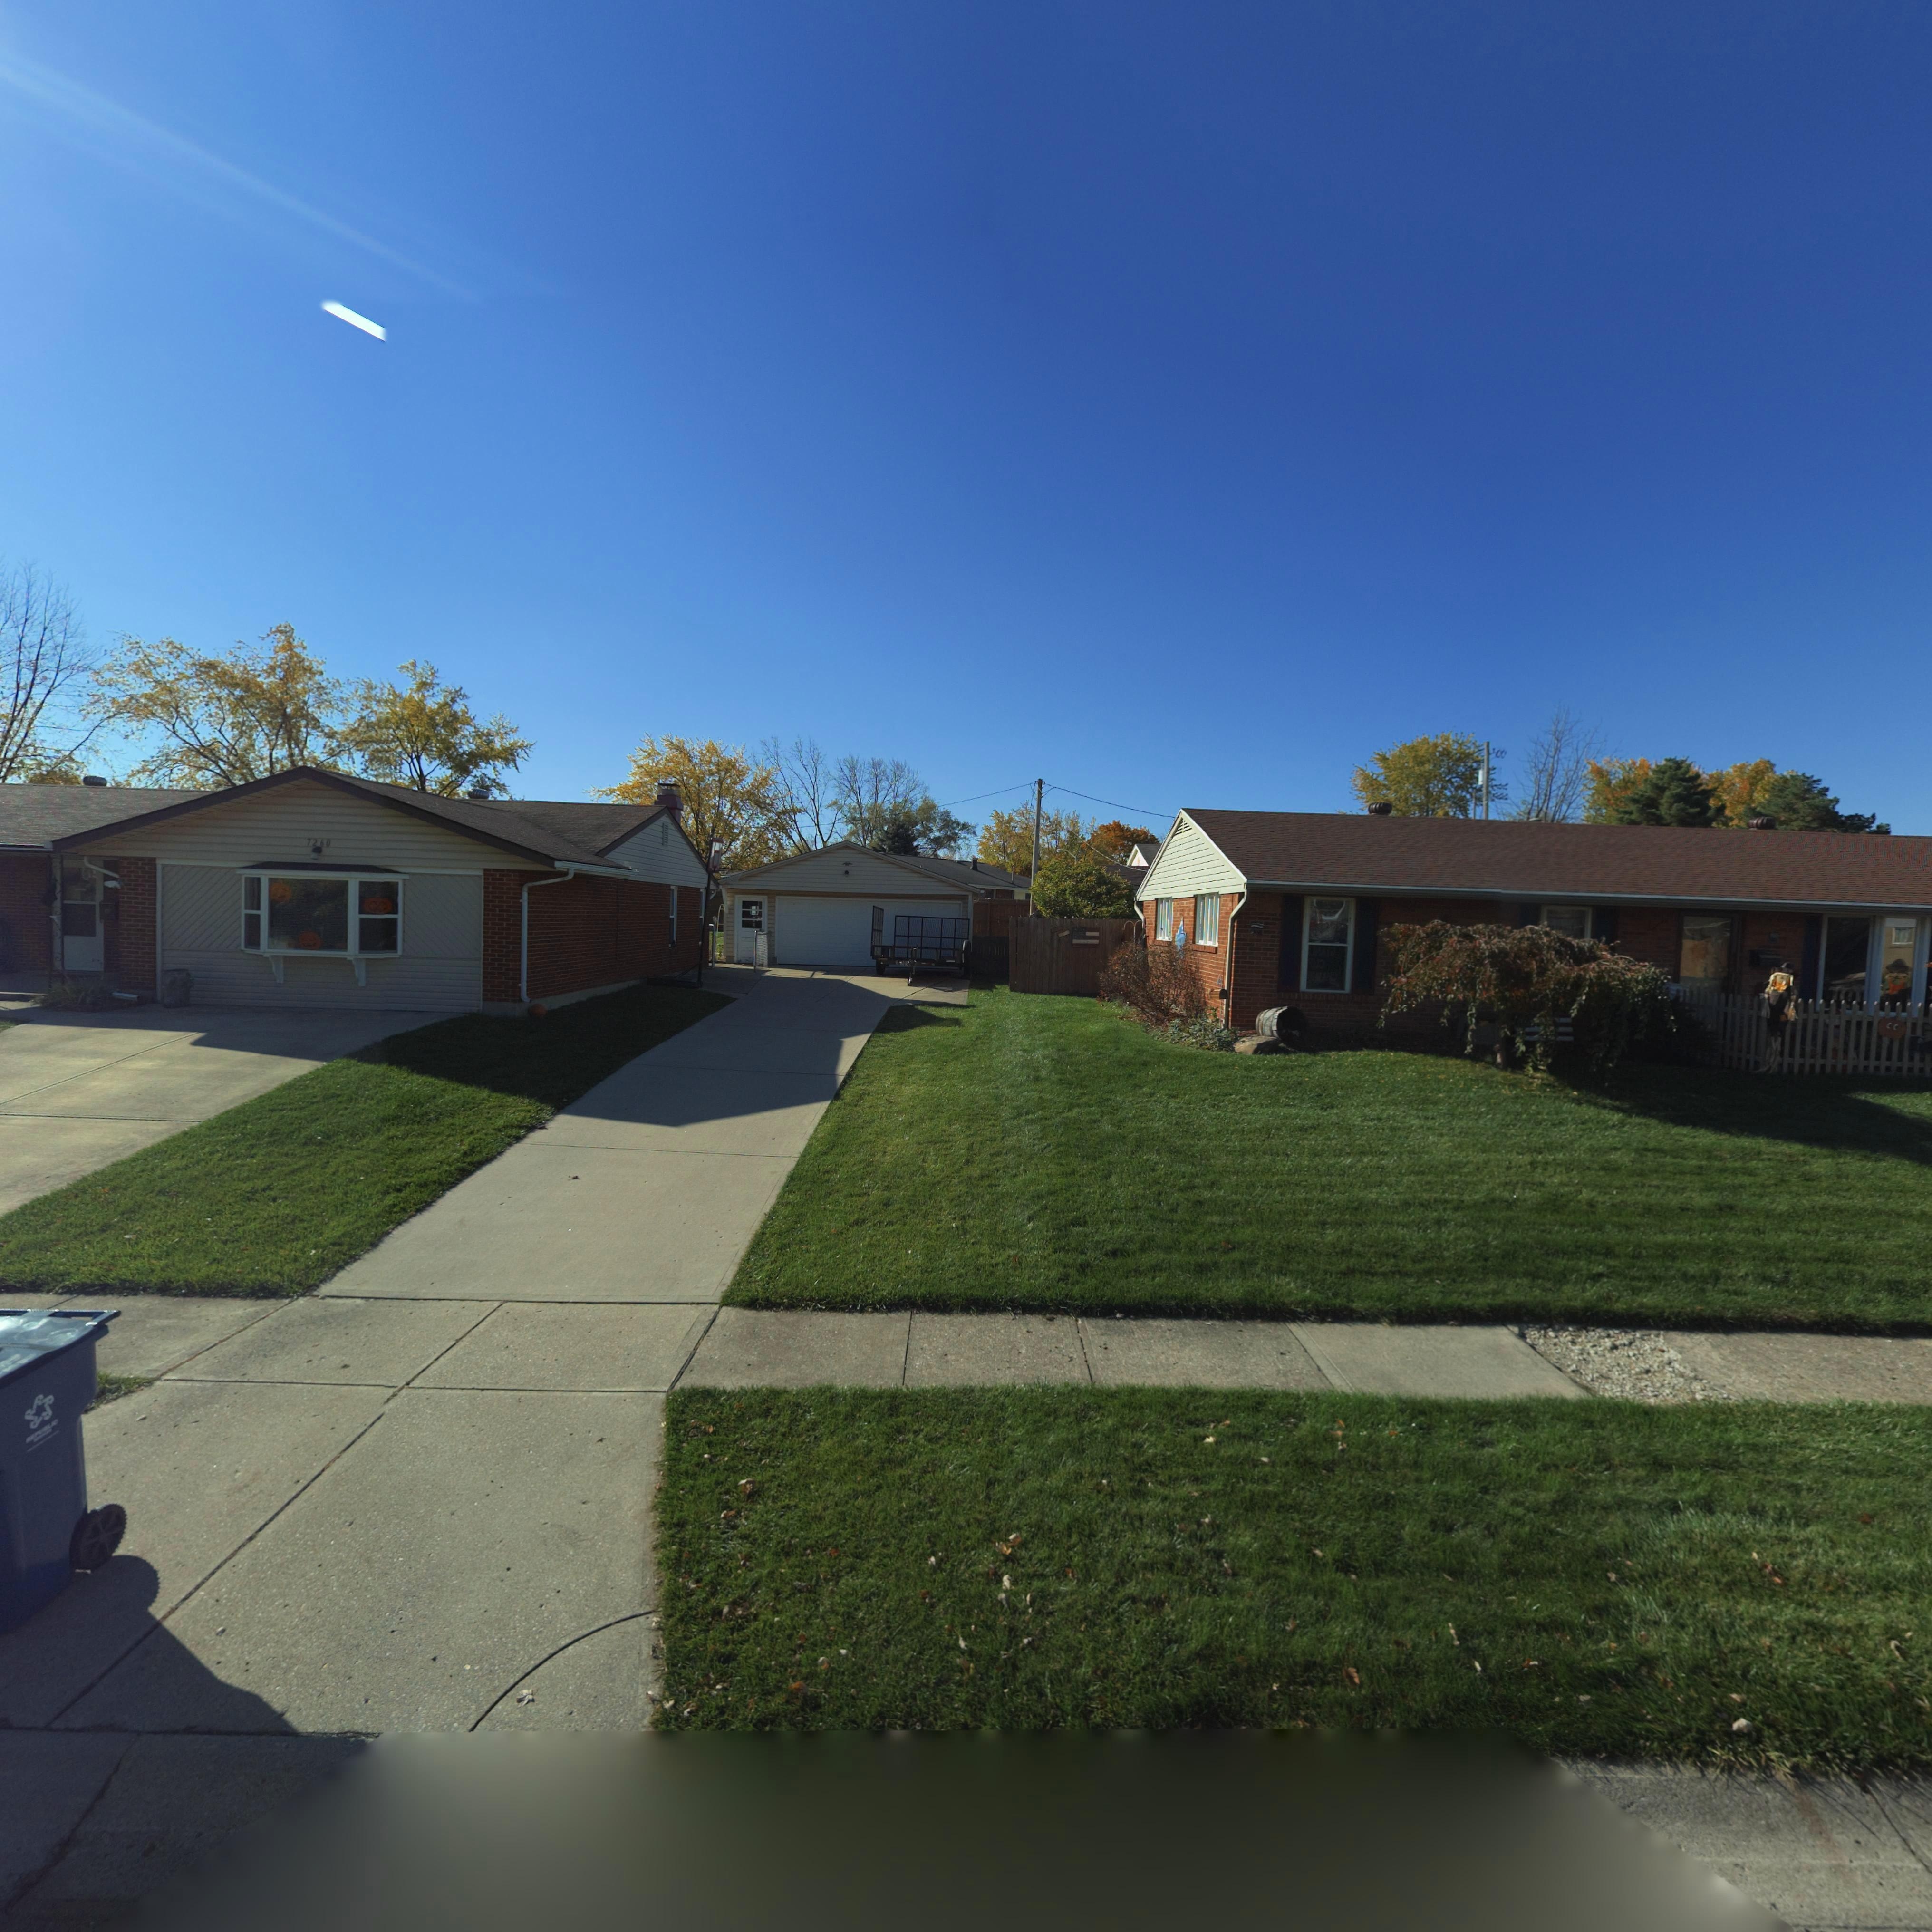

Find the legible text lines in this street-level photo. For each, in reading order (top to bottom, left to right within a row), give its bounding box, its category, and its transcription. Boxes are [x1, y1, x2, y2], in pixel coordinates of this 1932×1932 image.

[305, 837, 332, 848] StreetNumber: 7260